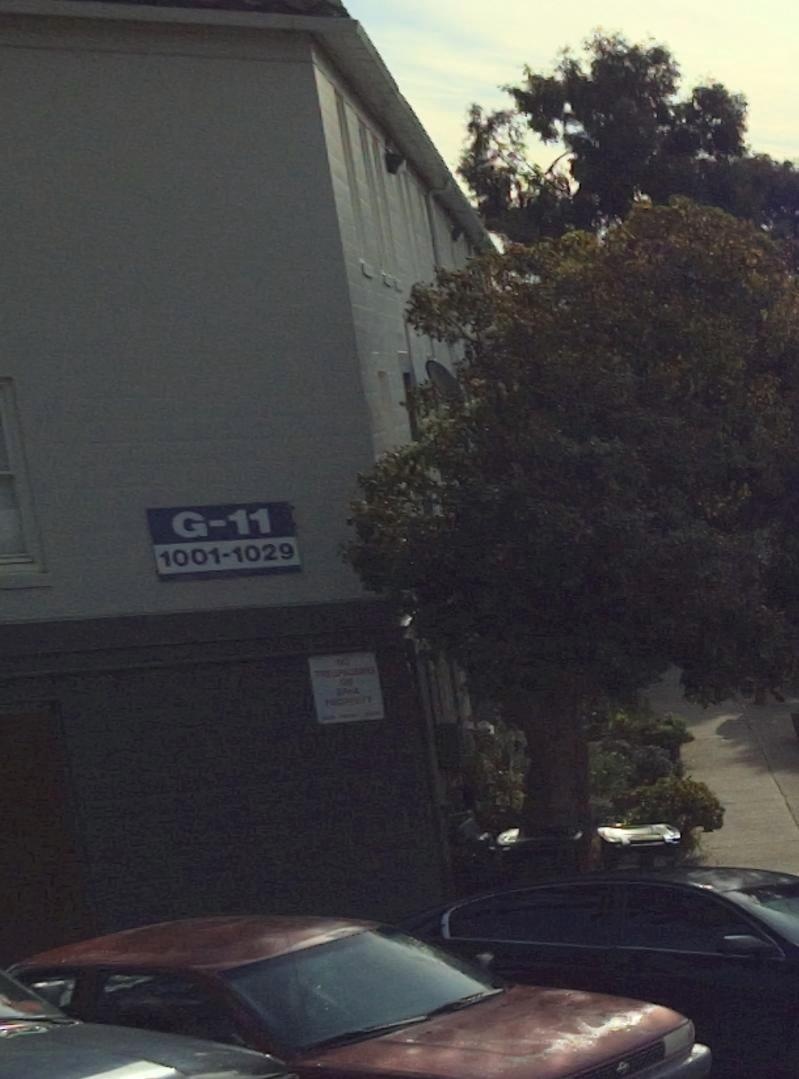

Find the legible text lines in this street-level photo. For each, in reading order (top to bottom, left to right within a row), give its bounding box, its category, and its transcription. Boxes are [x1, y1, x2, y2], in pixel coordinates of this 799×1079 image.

[168, 506, 273, 540] None: G-11
[157, 547, 223, 568] StreetNumber: 1001
[231, 541, 296, 565] StreetNumber: 1029
[335, 657, 351, 666] None: NO
[313, 665, 376, 679] None: TRESPASSING
[338, 676, 354, 688] None: ON
[323, 694, 374, 708] None: PROPERTY